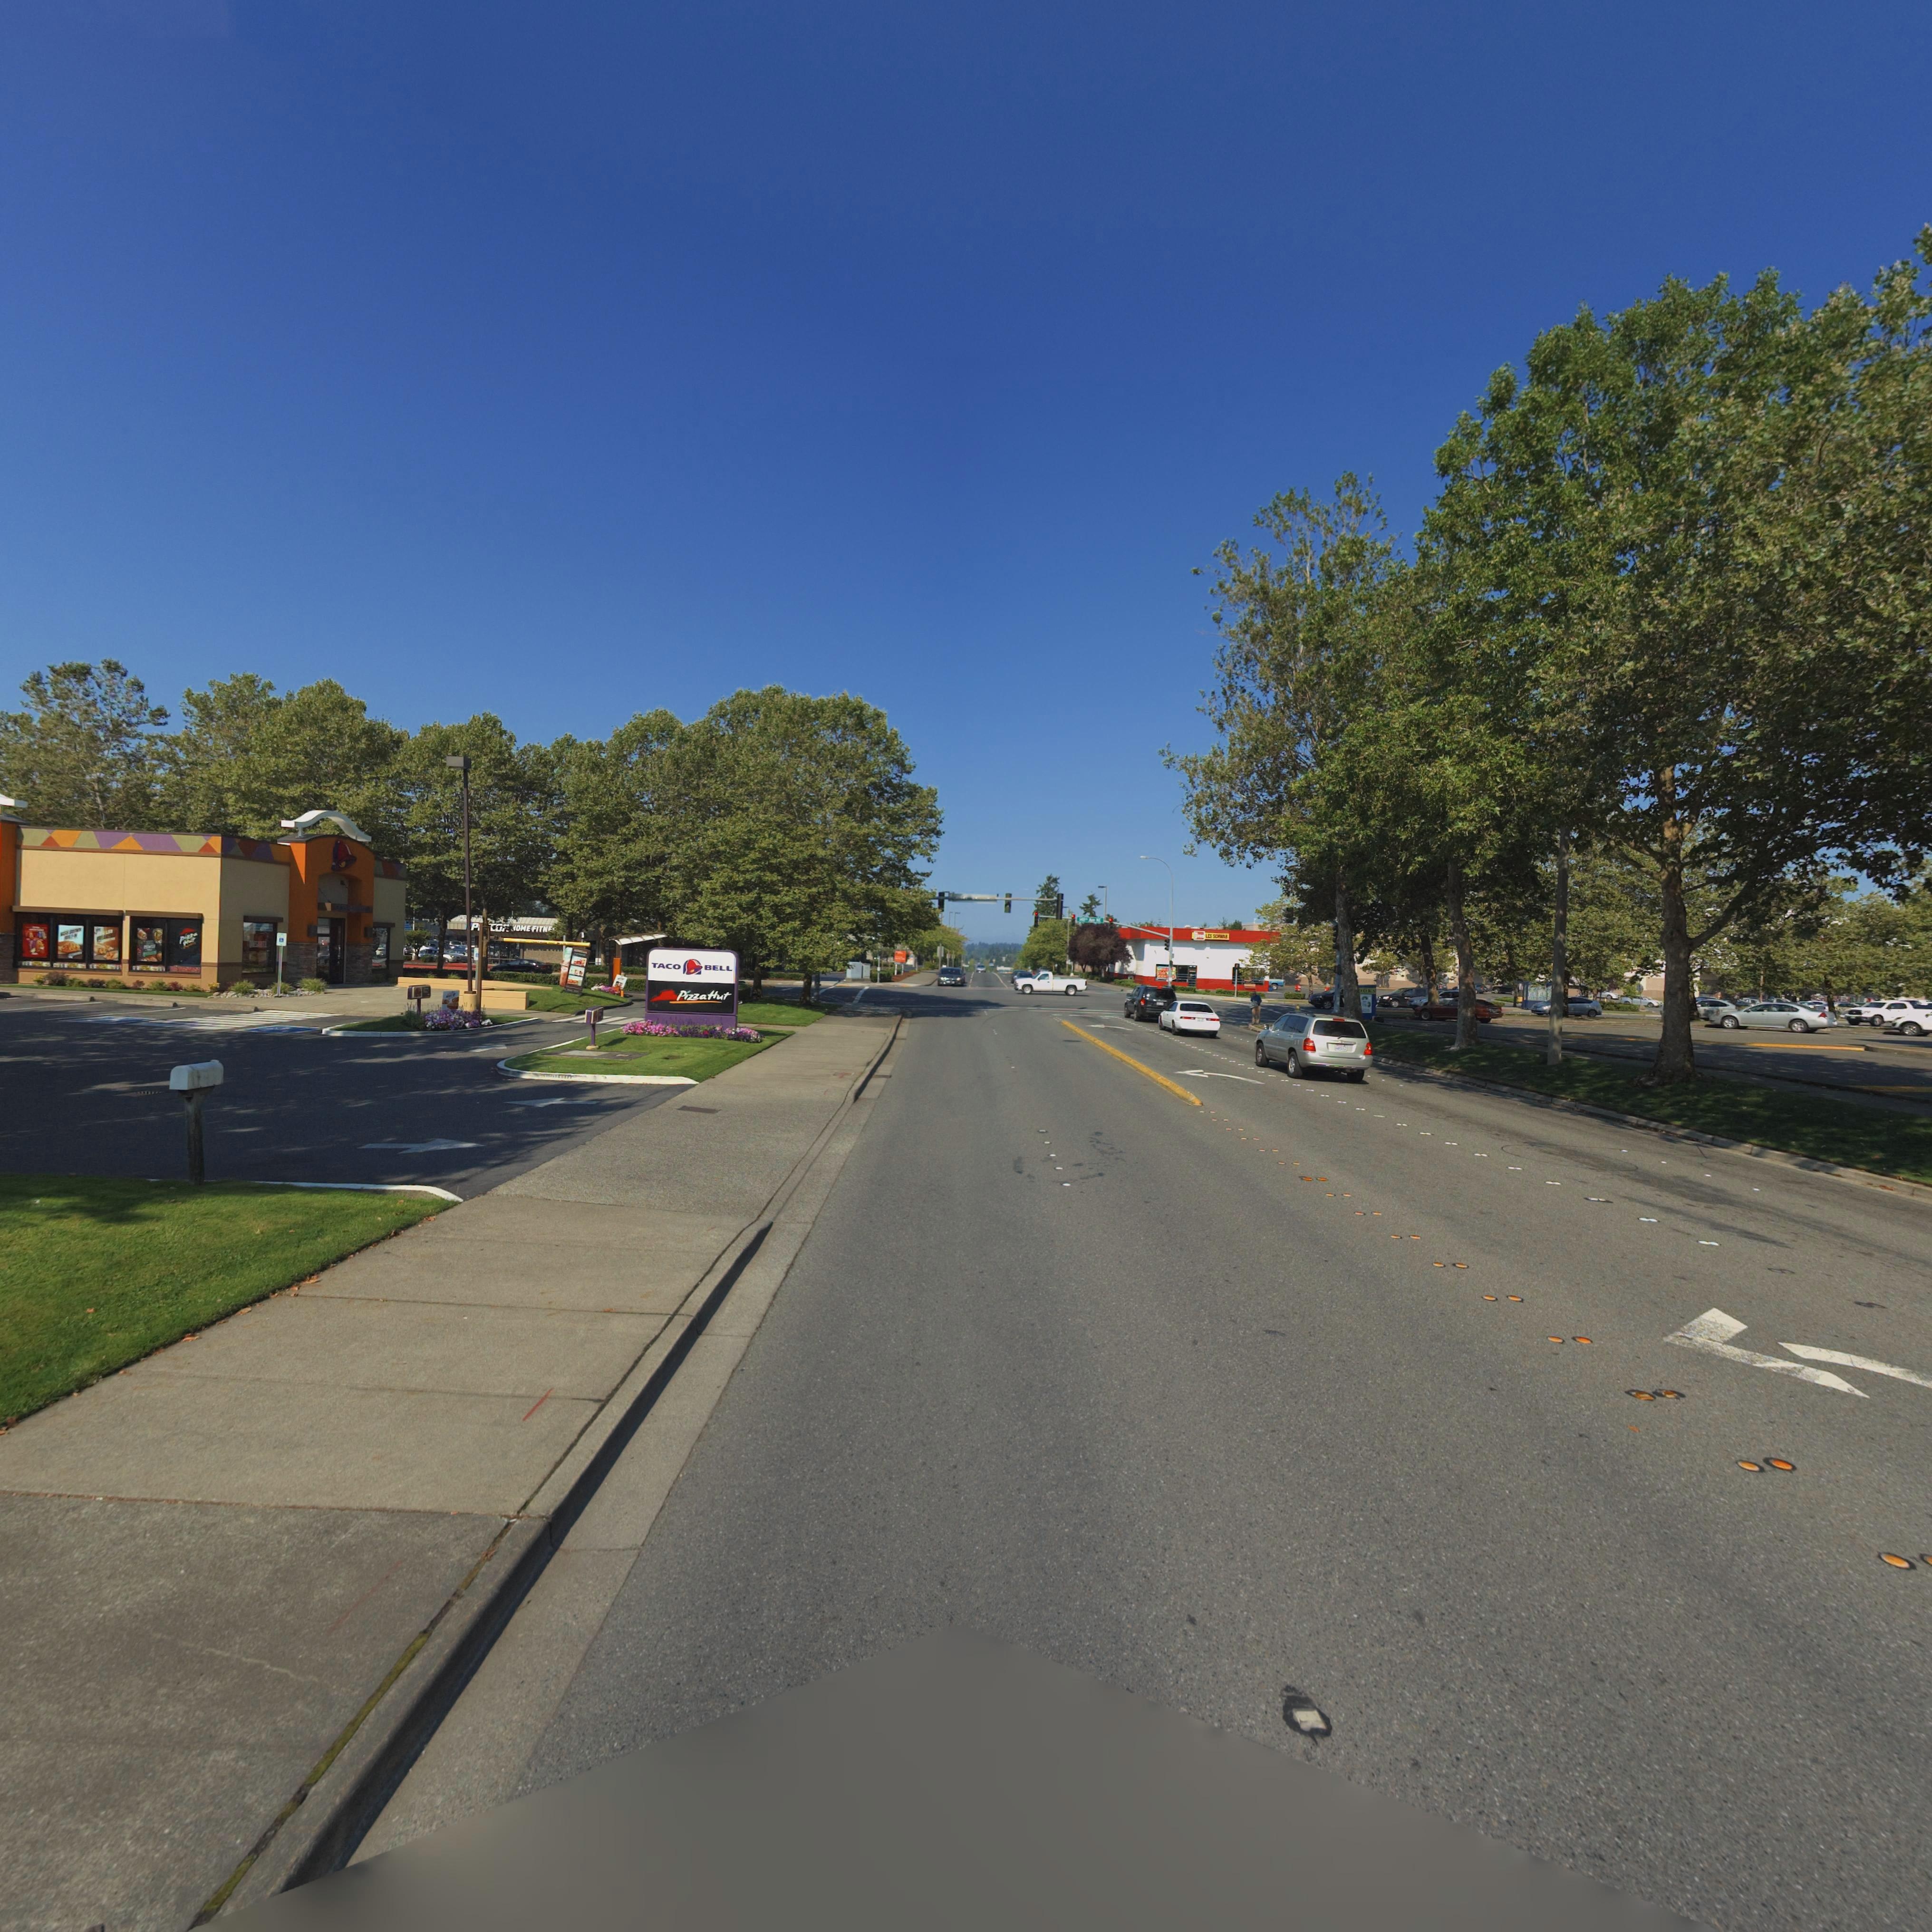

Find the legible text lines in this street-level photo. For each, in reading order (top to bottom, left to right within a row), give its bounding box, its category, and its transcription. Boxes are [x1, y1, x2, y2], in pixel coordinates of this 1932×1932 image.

[1078, 917, 1101, 922] StreetName: 148** Ave NE
[470, 922, 503, 932] BusinessName: P**CO
[515, 925, 552, 933] BusinessName: OME FITNE
[1205, 933, 1228, 939] BusinessName: LES SCH***
[652, 962, 732, 971] BusinessName: TACO * BELL
[676, 989, 732, 1001] BusinessName: Pizza Hut